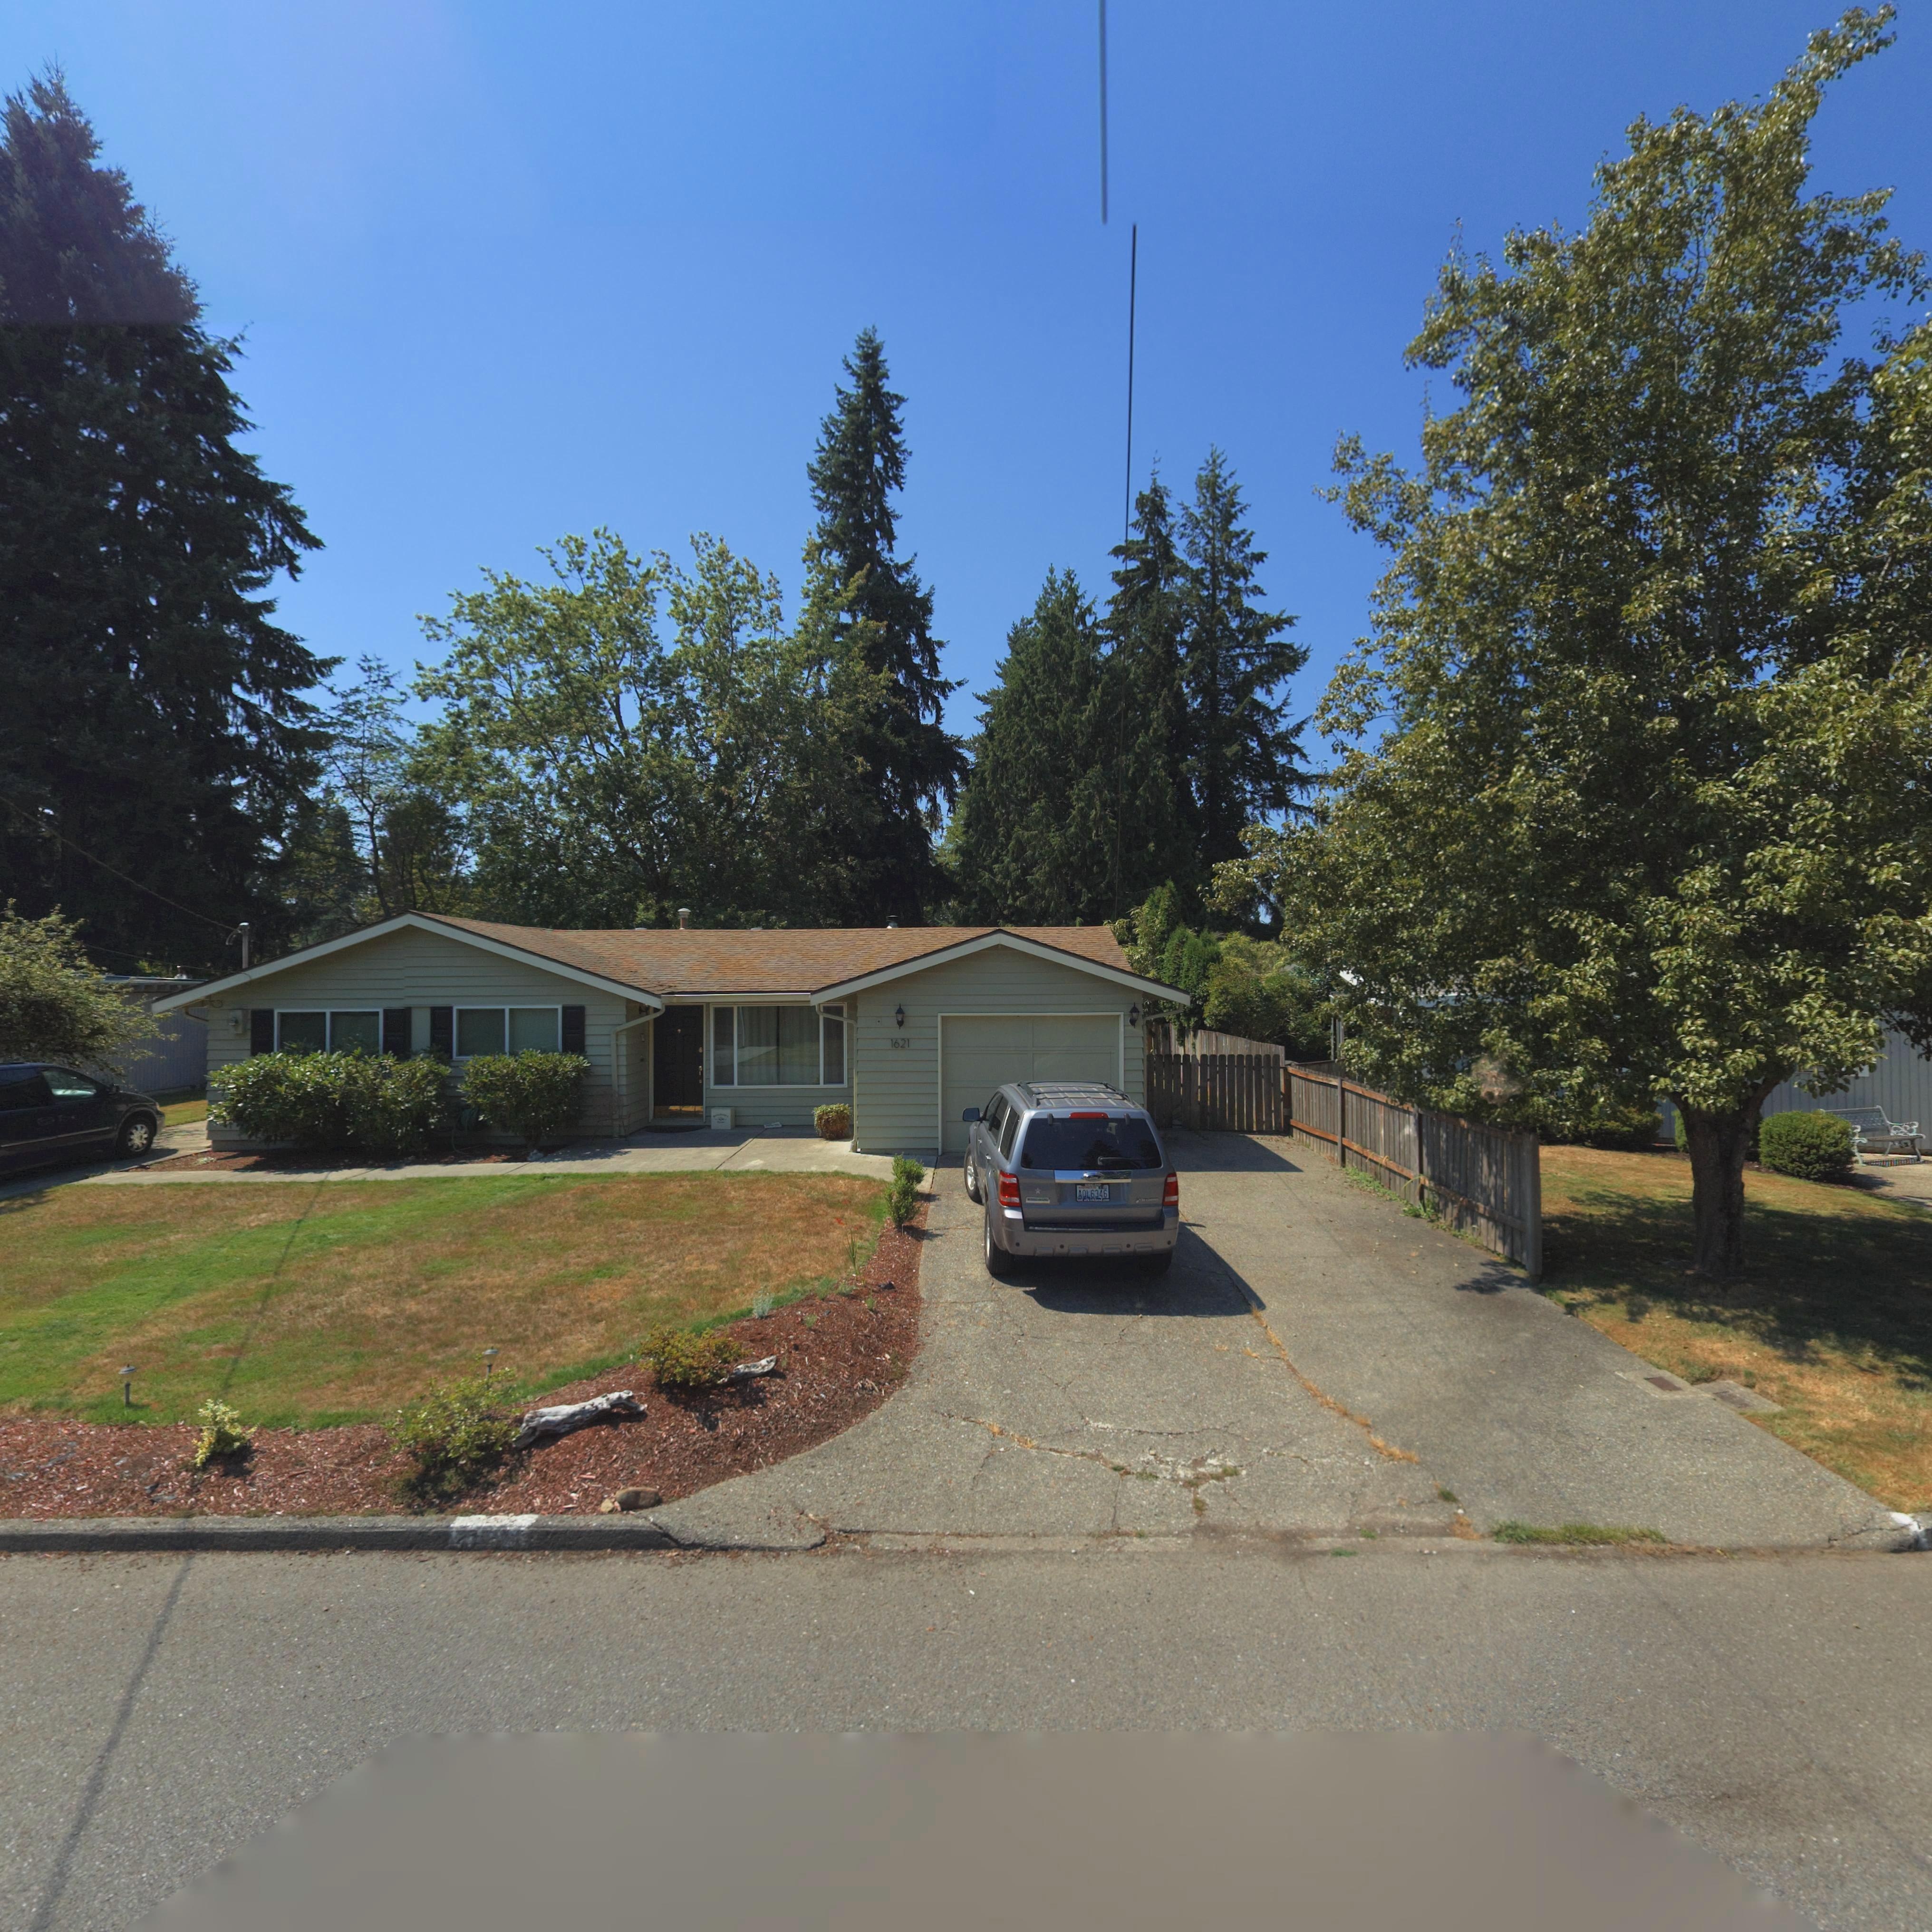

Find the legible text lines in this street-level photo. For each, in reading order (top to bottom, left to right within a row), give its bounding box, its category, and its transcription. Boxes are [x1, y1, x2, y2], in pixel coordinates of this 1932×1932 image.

[888, 1038, 909, 1048] StreetNumber: 1621